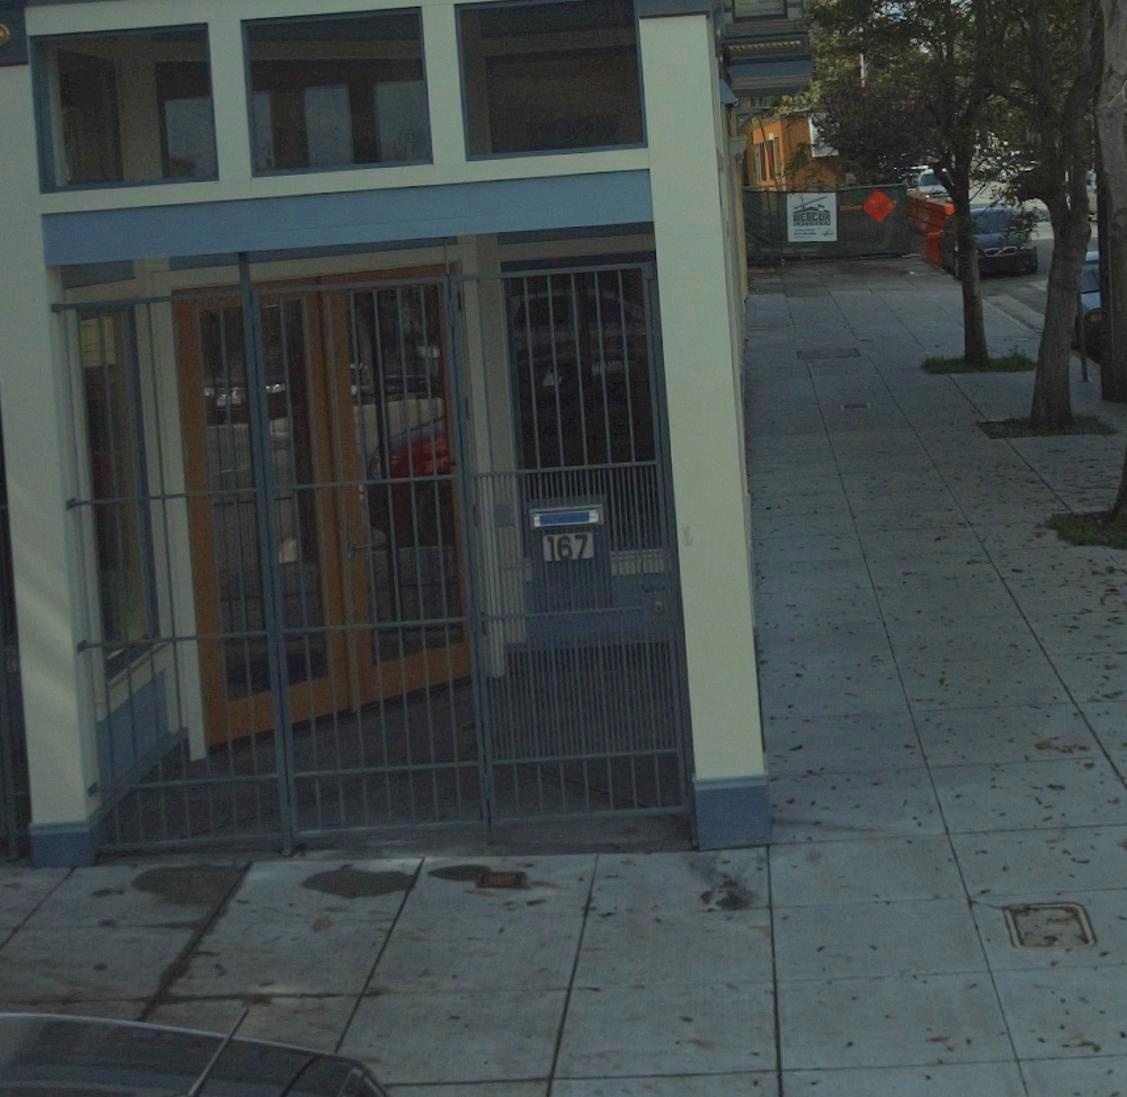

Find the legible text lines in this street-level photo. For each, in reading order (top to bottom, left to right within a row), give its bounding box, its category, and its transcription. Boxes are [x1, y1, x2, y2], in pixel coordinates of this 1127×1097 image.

[543, 531, 593, 563] StreetNumber: 167